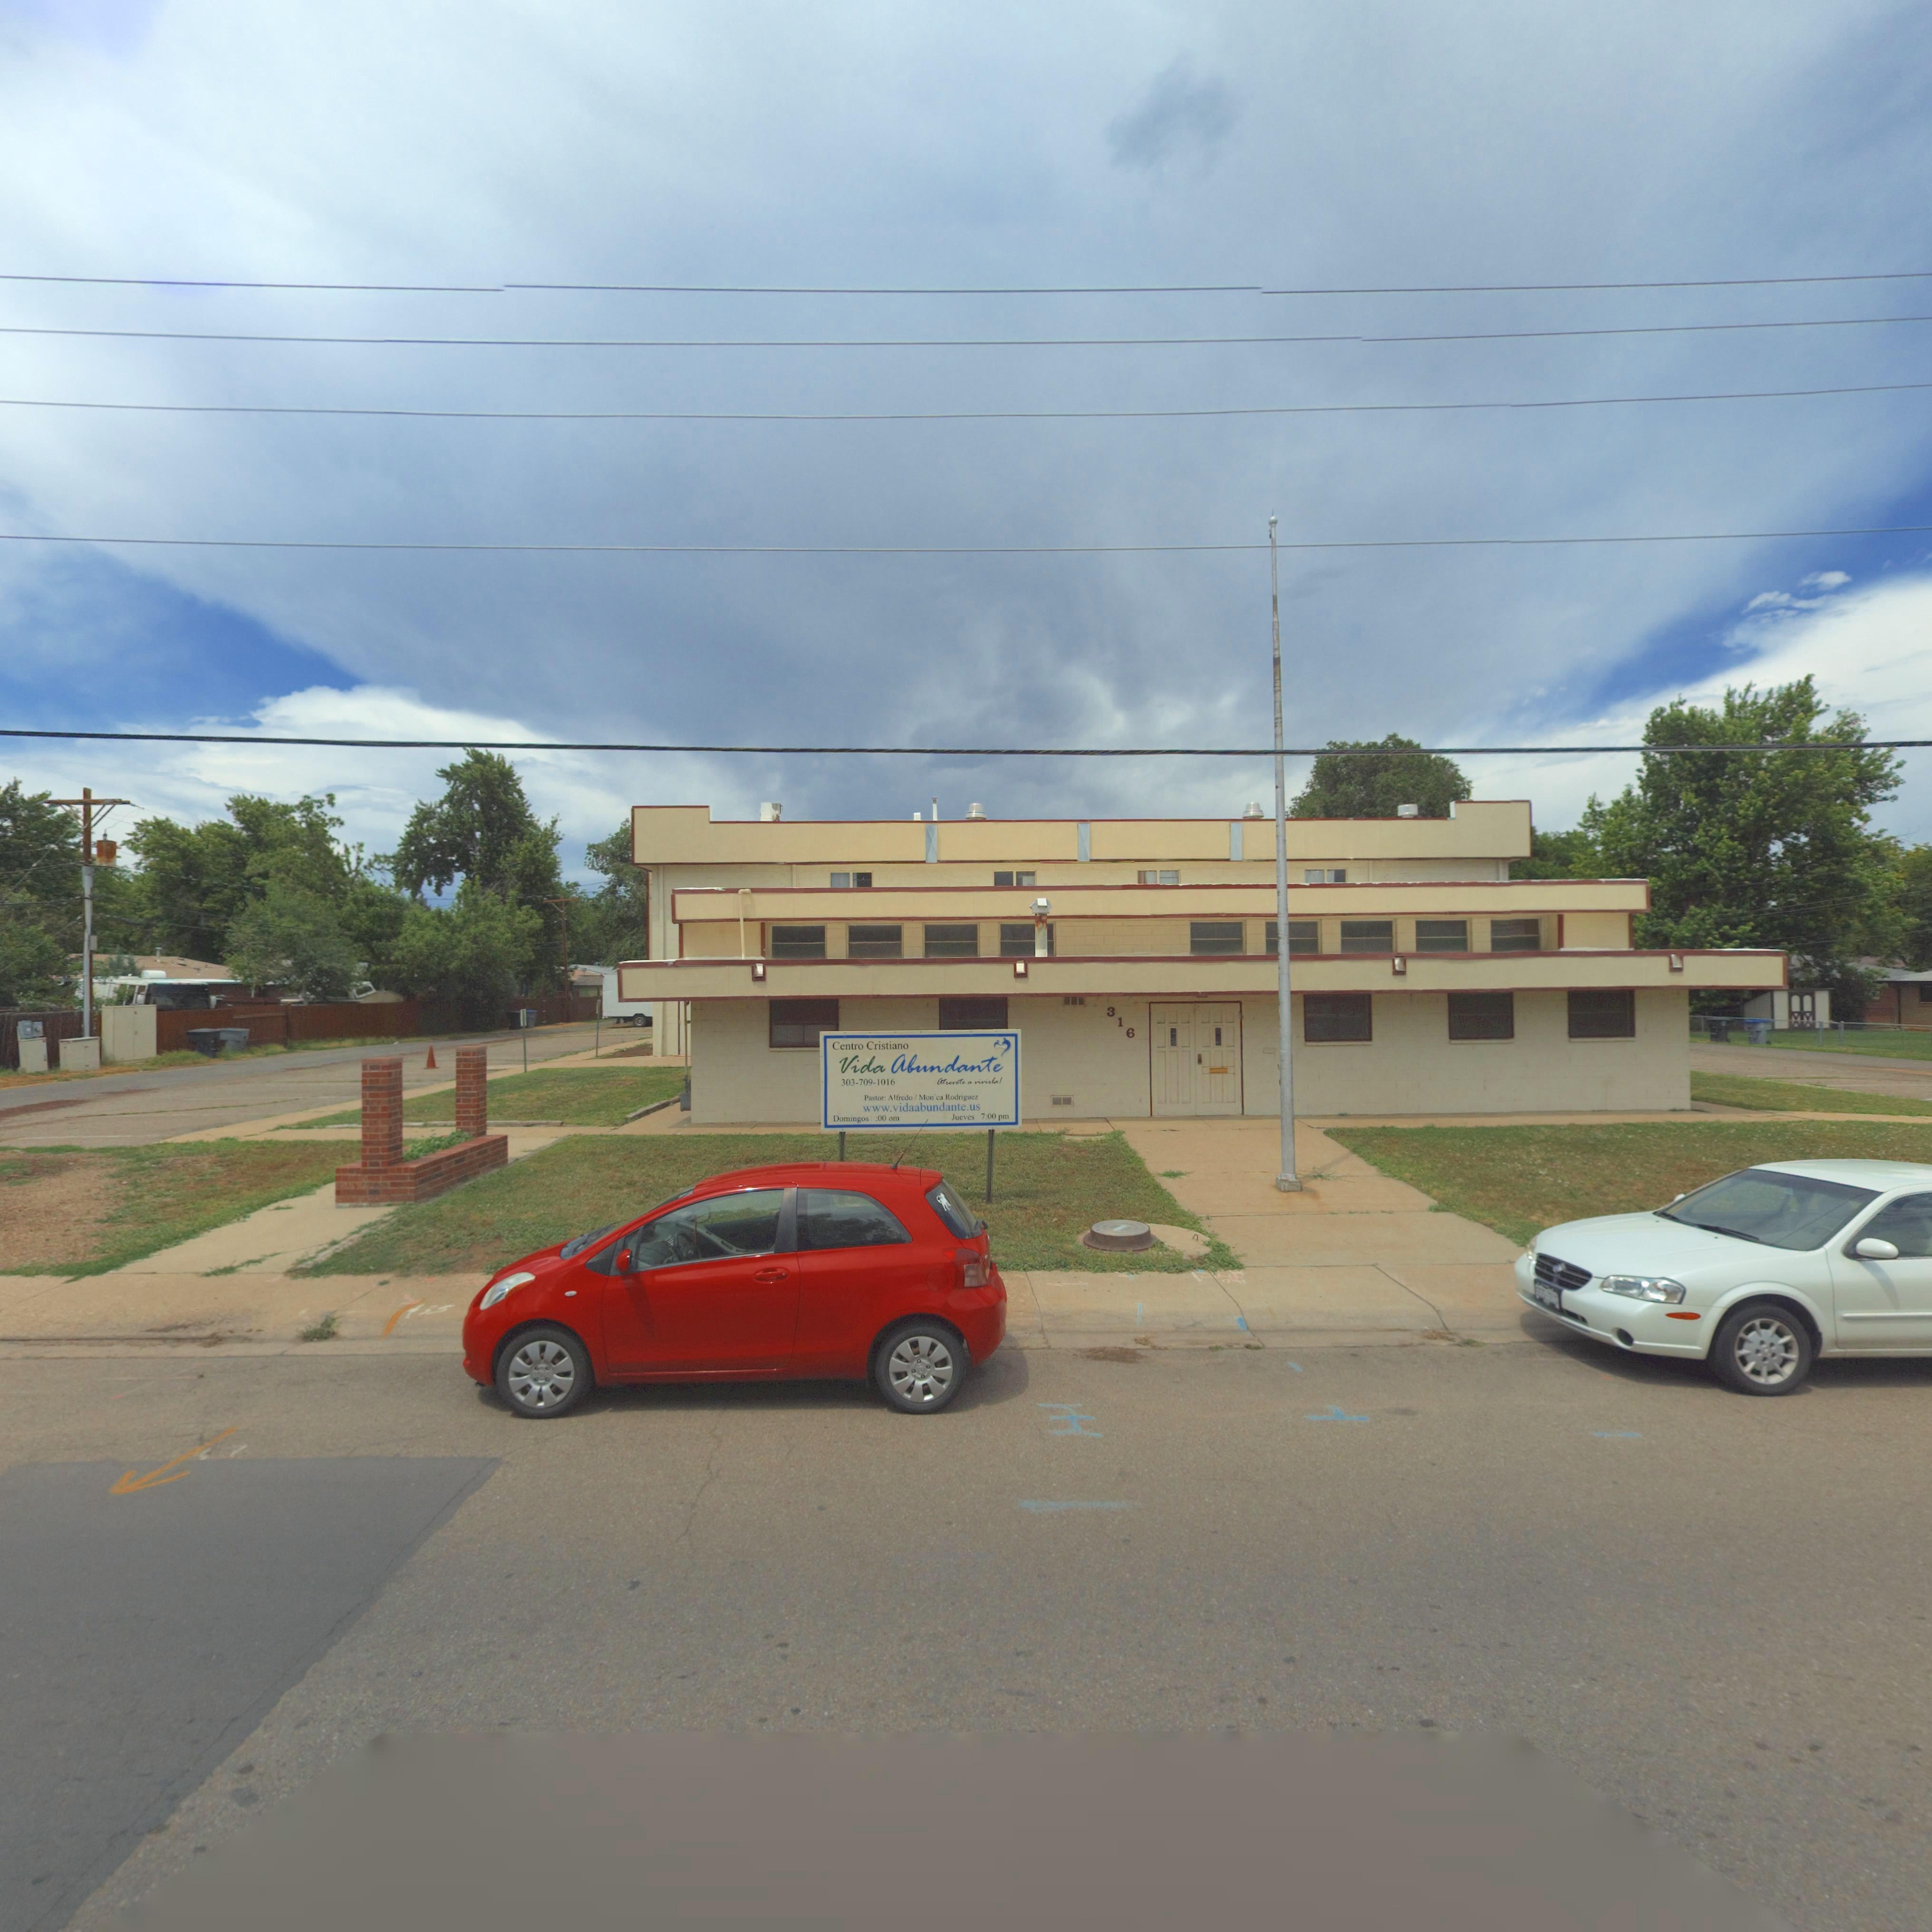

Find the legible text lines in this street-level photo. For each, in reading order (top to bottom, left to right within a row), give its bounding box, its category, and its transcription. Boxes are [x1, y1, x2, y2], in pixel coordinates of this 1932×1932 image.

[1105, 1005, 1135, 1039] StreetNumber: 316
[831, 1040, 909, 1051] BusinessName: Centro Cristiano
[837, 1052, 1005, 1074] BusinessName: Vida Abundante